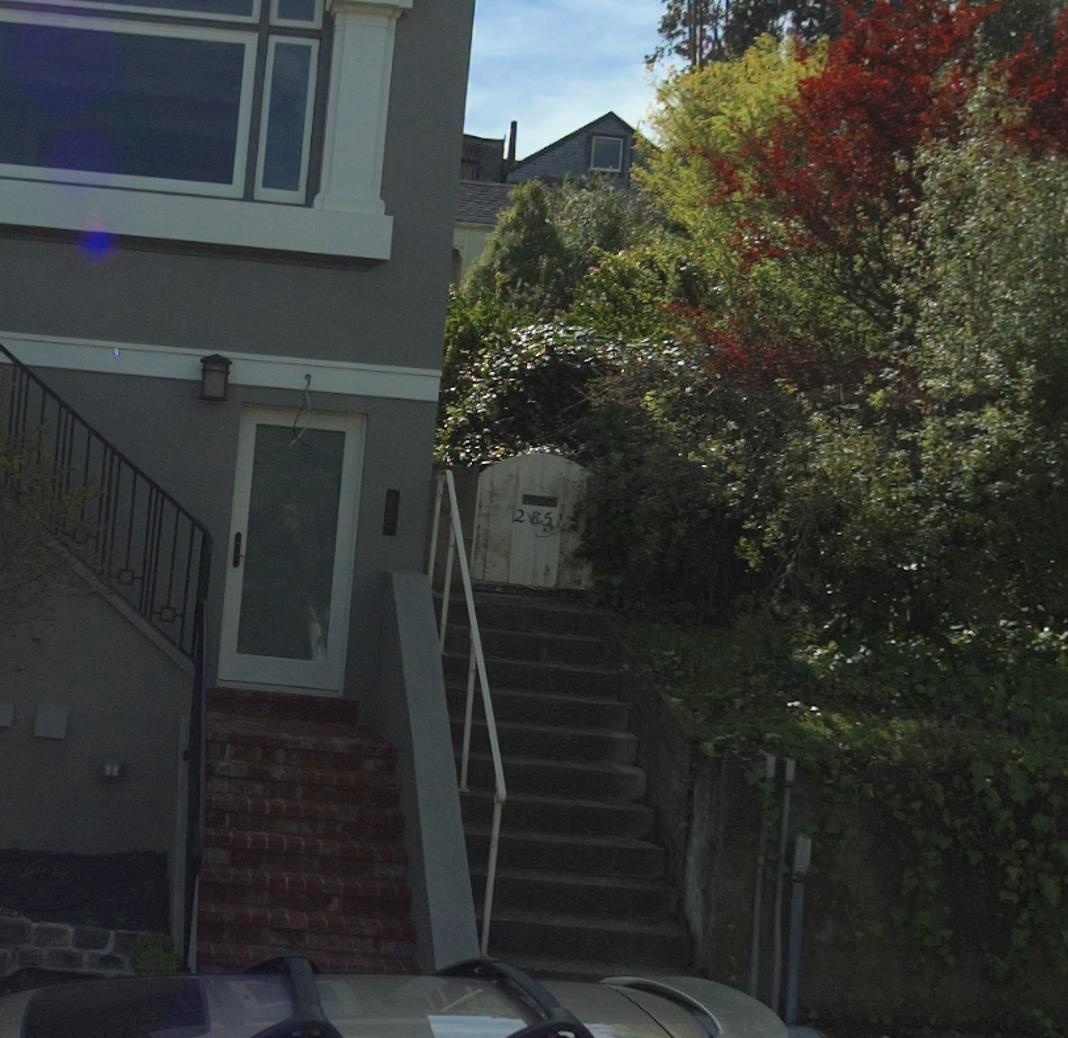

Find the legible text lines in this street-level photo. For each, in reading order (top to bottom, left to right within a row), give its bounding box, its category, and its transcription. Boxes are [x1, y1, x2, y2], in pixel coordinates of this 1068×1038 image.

[509, 507, 565, 531] StreetNumber: 2851